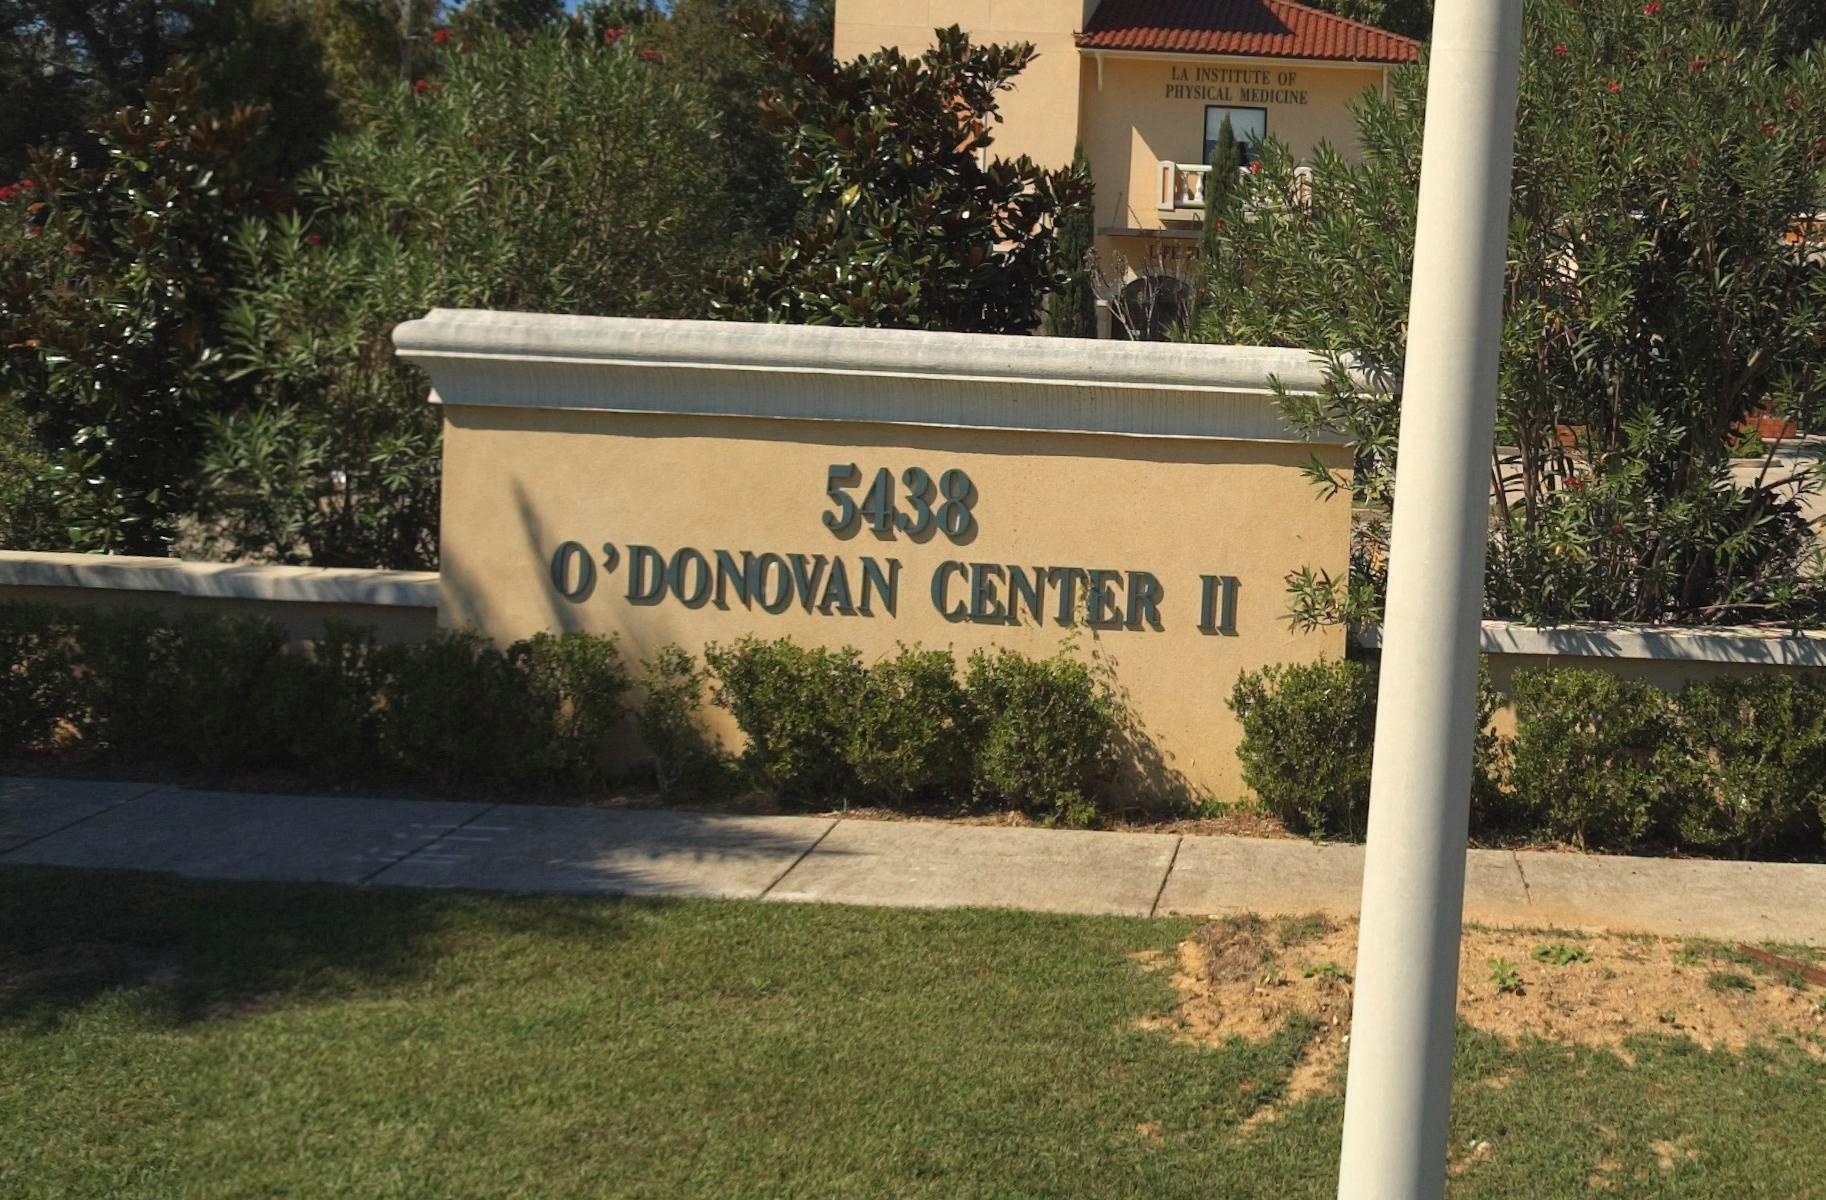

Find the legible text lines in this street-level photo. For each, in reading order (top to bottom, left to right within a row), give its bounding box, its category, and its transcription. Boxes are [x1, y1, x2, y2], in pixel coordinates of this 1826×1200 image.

[1170, 64, 1298, 87] BusinessName: LA INSTITUTE OF
[1163, 83, 1309, 106] BusinessName: PHYSICAL MEDICINE
[820, 460, 974, 538] StreetNumber: 5438
[548, 539, 1245, 638] BusinessName: O'DONOVAN CENTER II